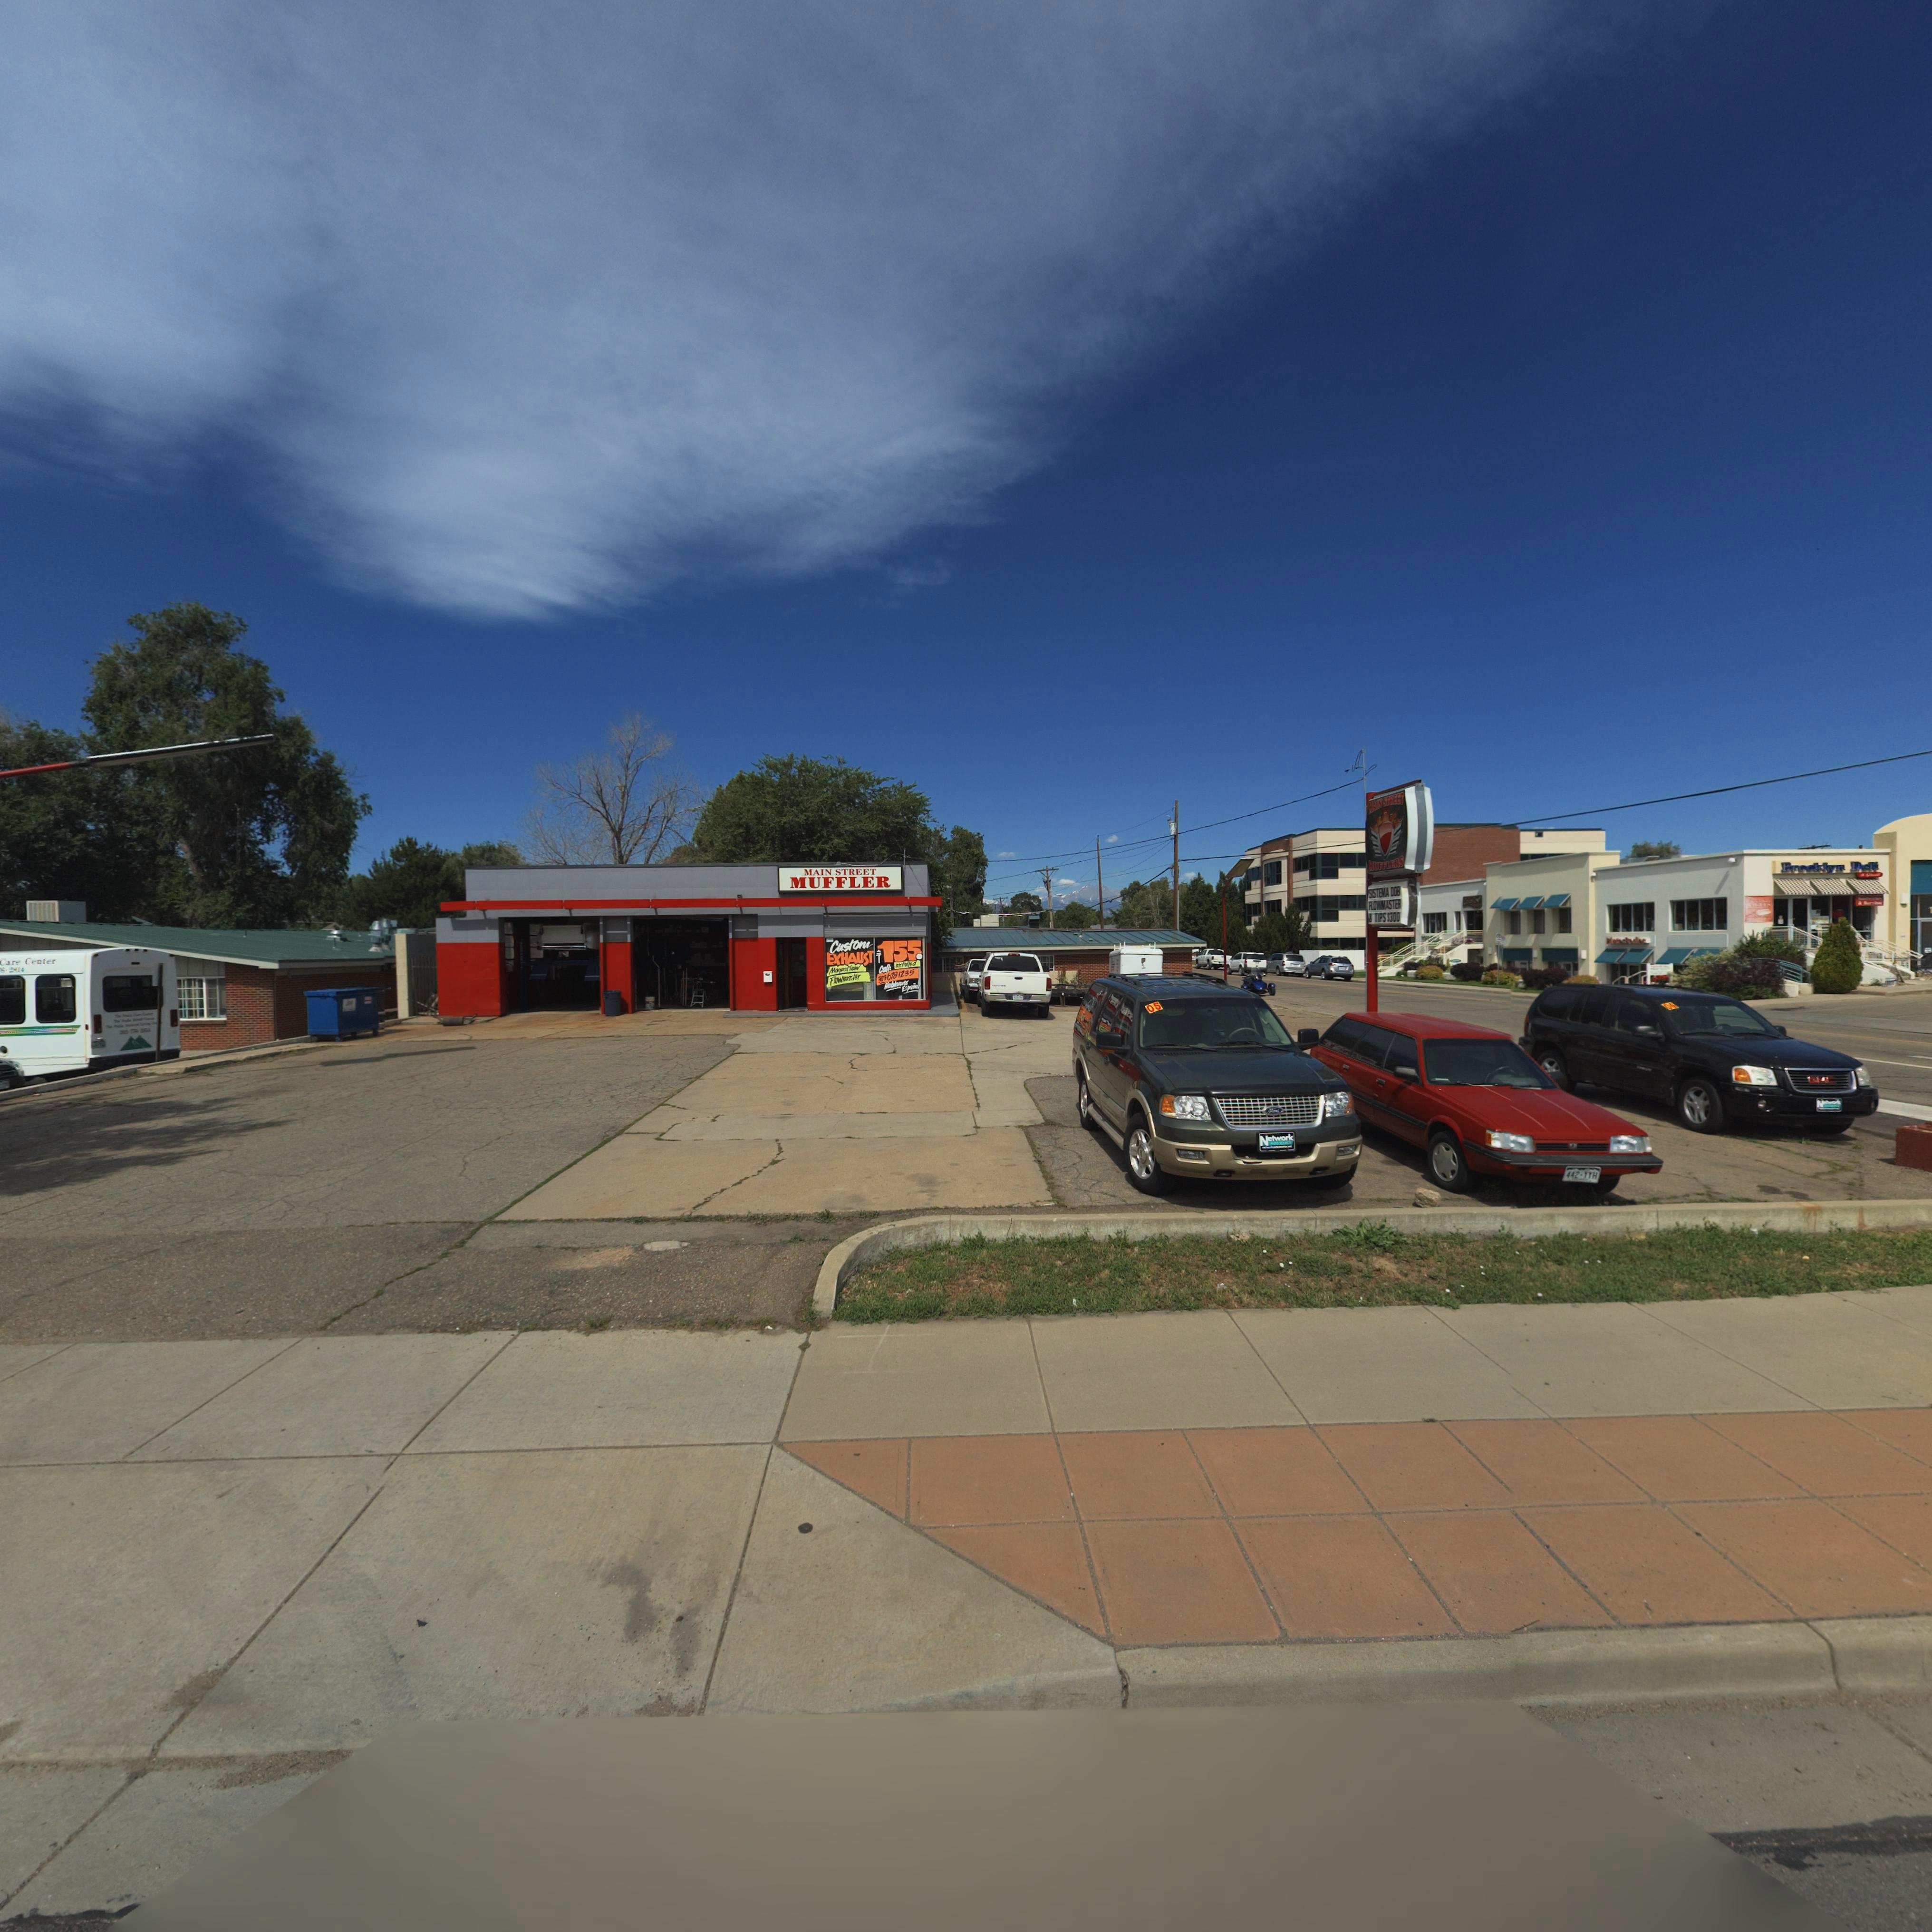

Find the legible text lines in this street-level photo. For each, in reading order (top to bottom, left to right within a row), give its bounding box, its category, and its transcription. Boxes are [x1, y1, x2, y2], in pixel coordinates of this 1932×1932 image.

[1368, 791, 1404, 814] BusinessName: MAIN STREET
[1367, 854, 1404, 871] BusinessName: MUFFLERS
[803, 868, 877, 876] BusinessName: MAIN STREET
[789, 875, 892, 889] BusinessName: MUFFLER